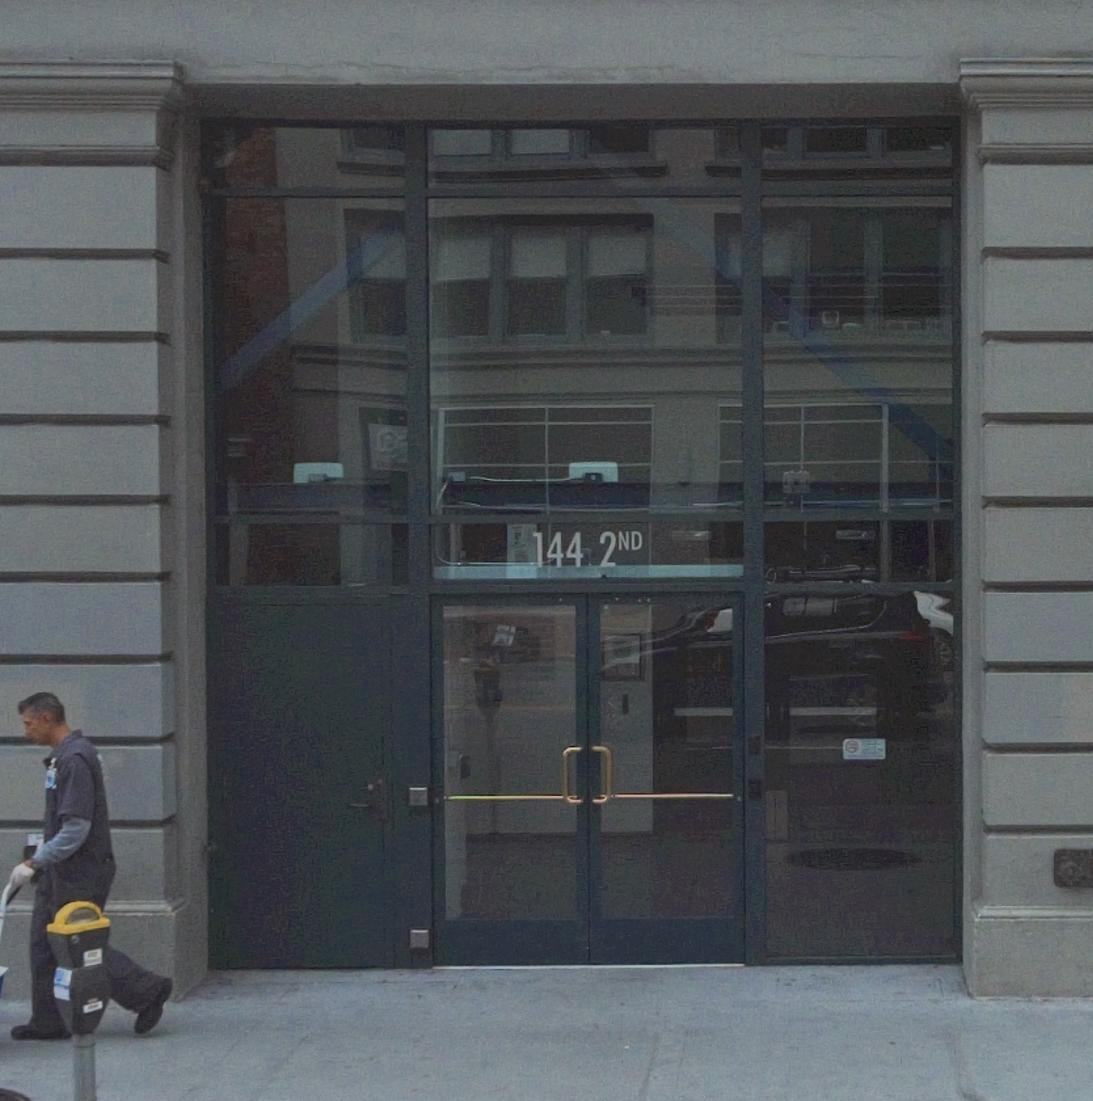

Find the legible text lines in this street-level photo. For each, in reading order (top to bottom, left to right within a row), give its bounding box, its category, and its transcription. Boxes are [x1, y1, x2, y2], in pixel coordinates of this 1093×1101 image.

[530, 529, 586, 570] StreetNumber: 144
[598, 529, 644, 569] StreetName: 2nd